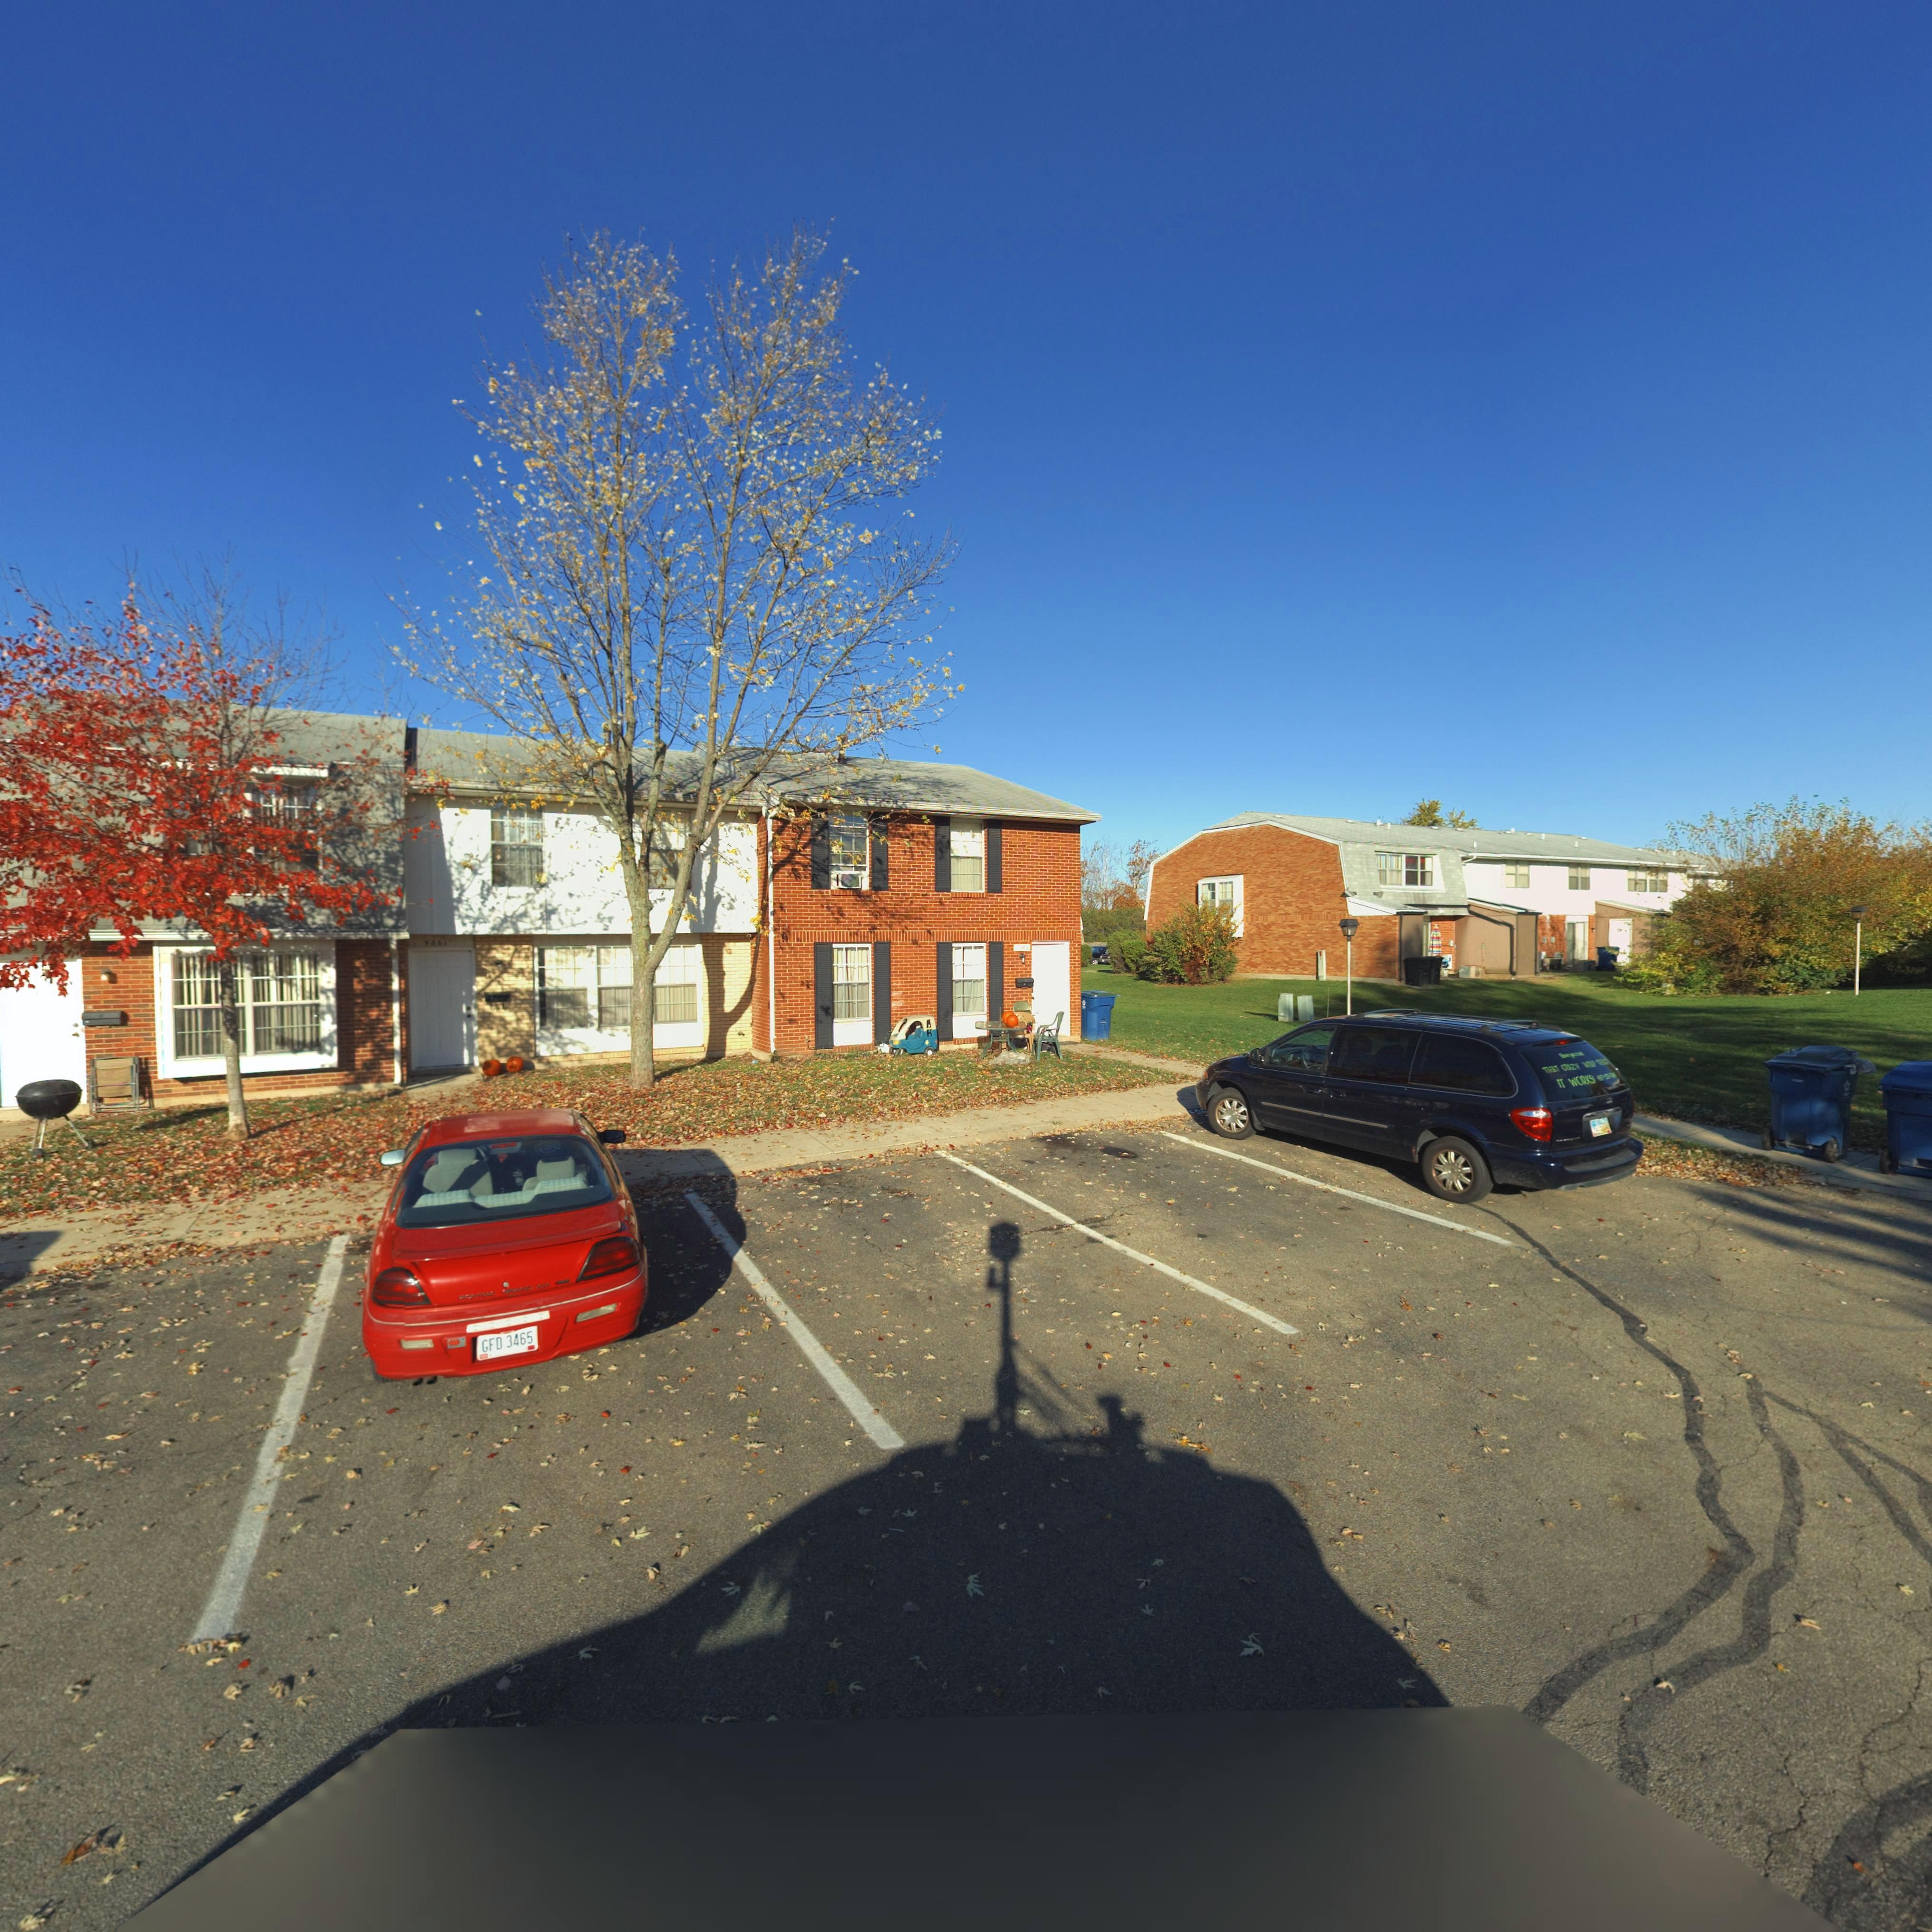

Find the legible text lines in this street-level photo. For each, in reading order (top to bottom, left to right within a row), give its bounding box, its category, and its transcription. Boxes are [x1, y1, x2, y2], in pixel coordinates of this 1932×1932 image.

[422, 938, 449, 949] StreetNumber: 5*6*